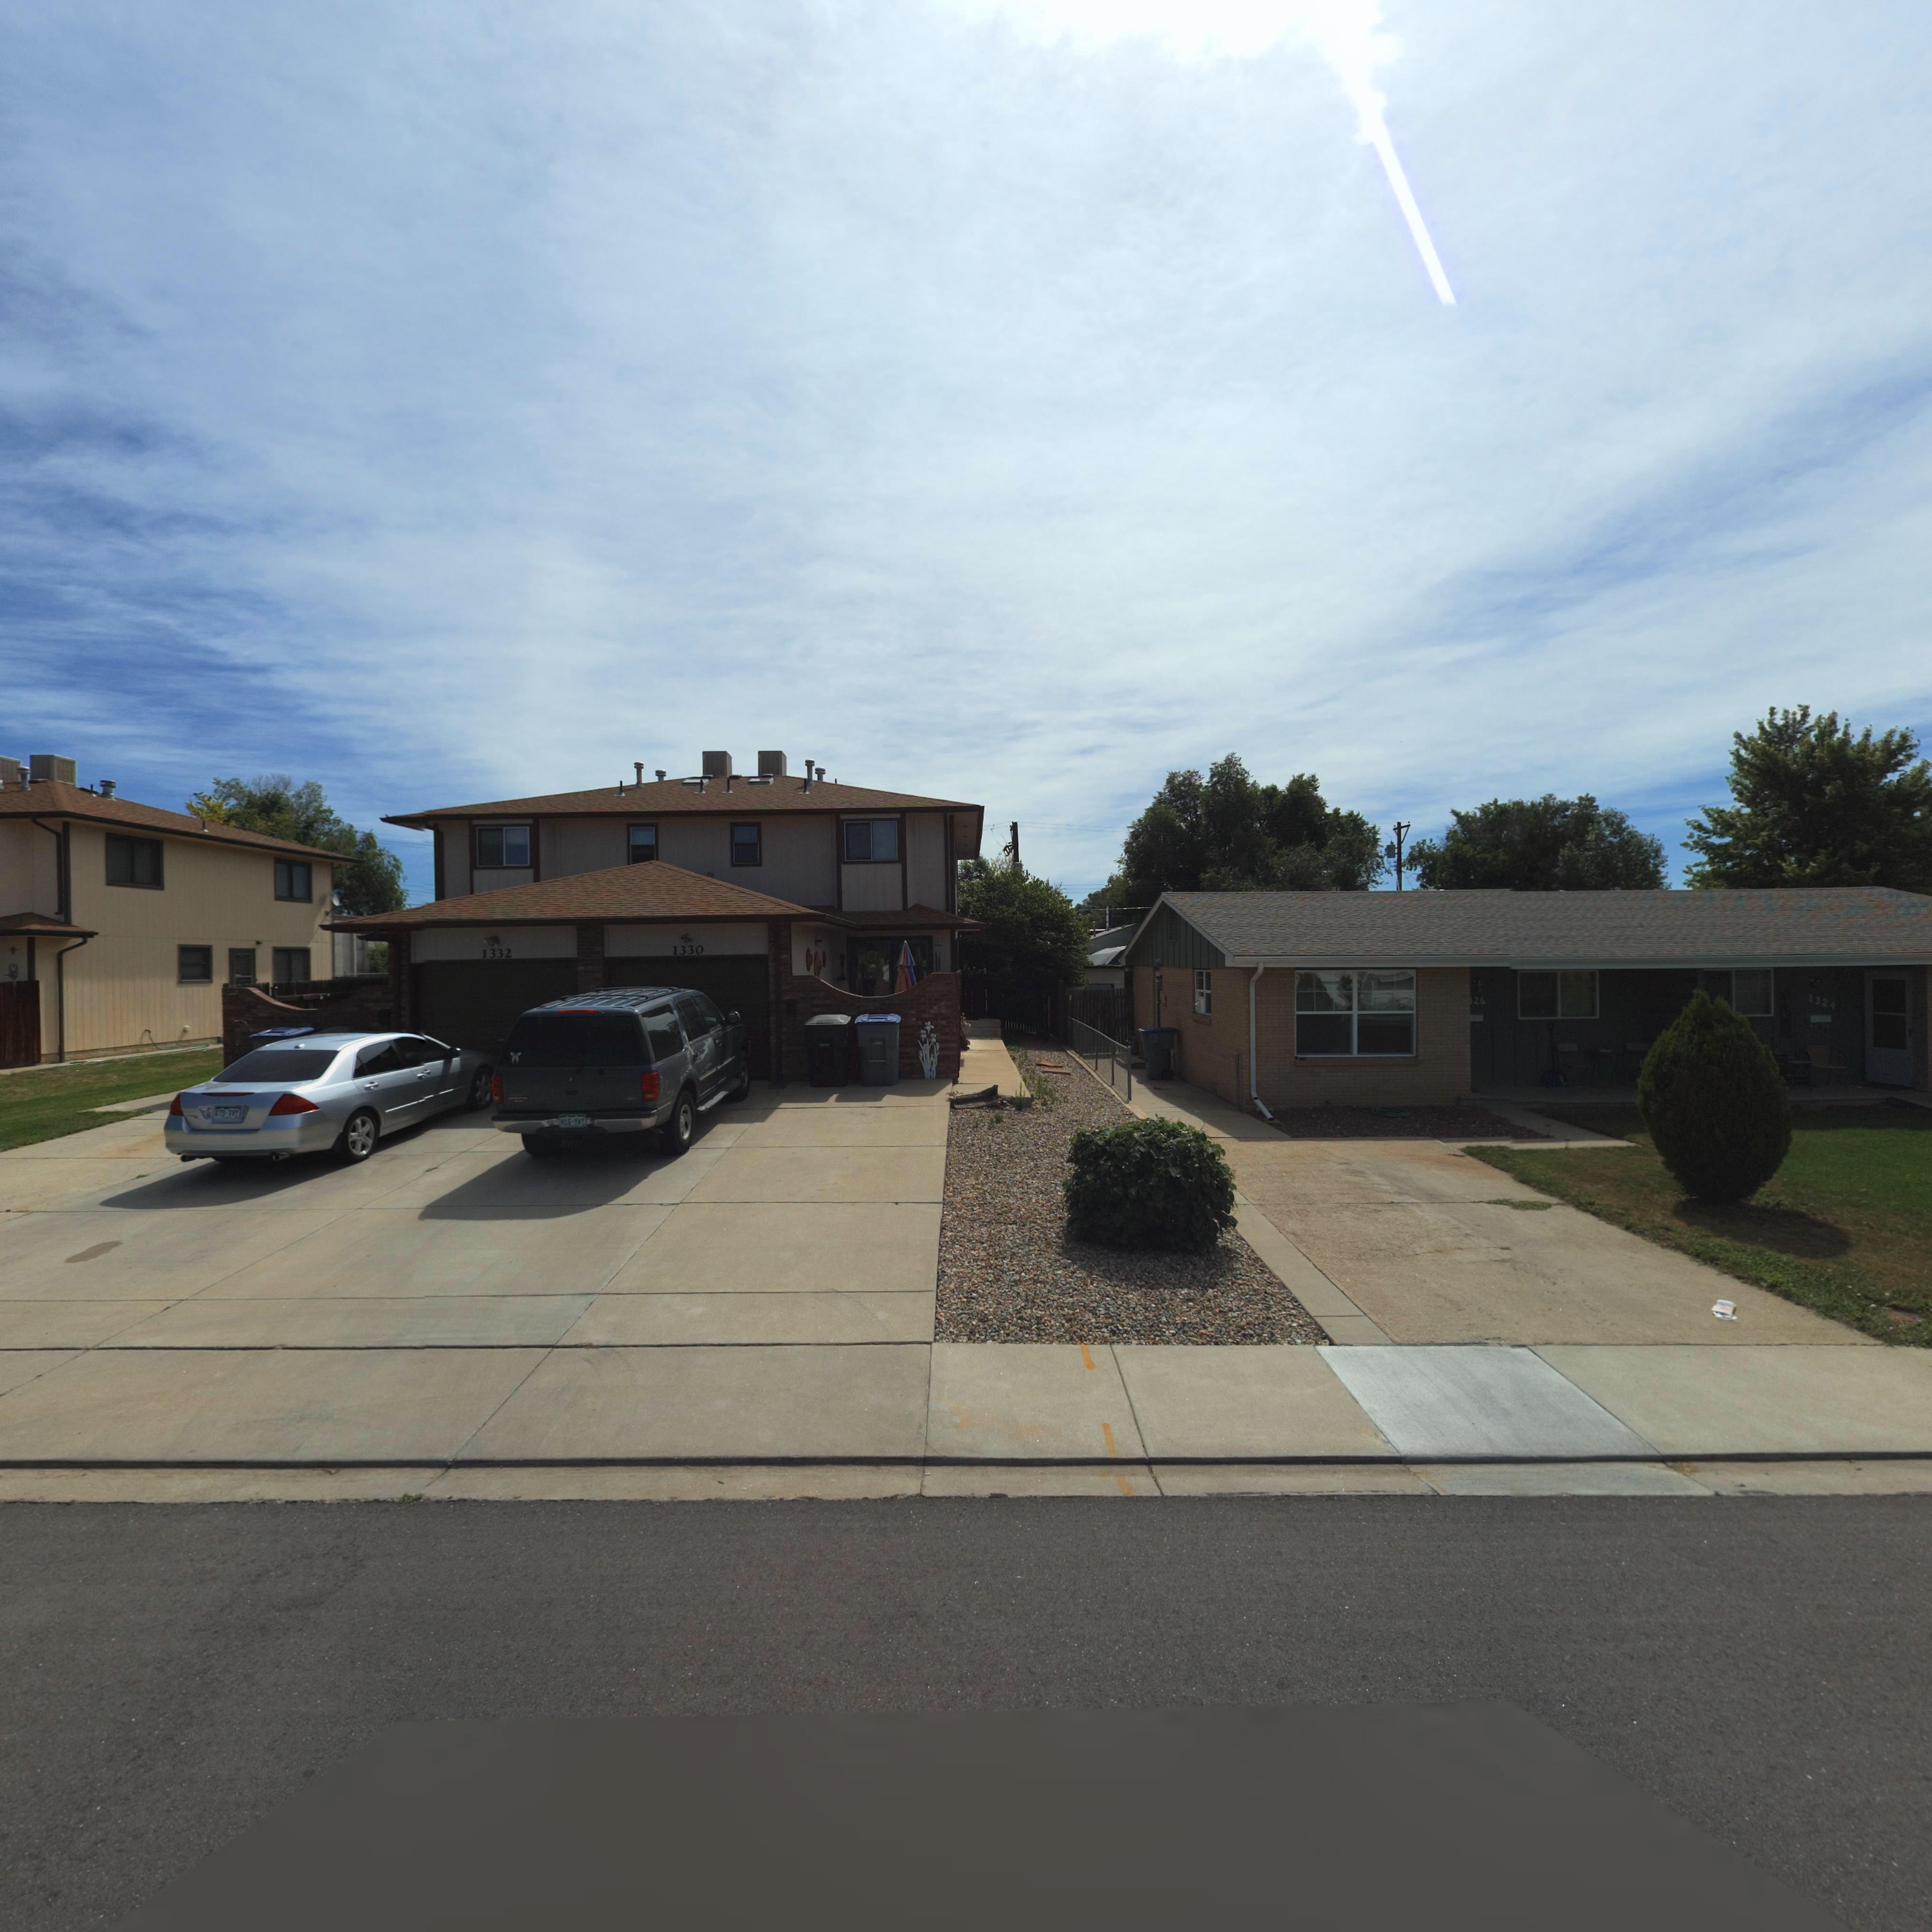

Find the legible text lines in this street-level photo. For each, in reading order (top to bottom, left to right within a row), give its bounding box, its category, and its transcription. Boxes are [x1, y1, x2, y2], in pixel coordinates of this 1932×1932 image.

[482, 947, 512, 959] StreetNumber: 1332
[672, 944, 704, 955] StreetNumber: 1330
[1469, 996, 1486, 1005] StreetNumber: *26
[1808, 993, 1836, 1011] StreetNumber: 1324